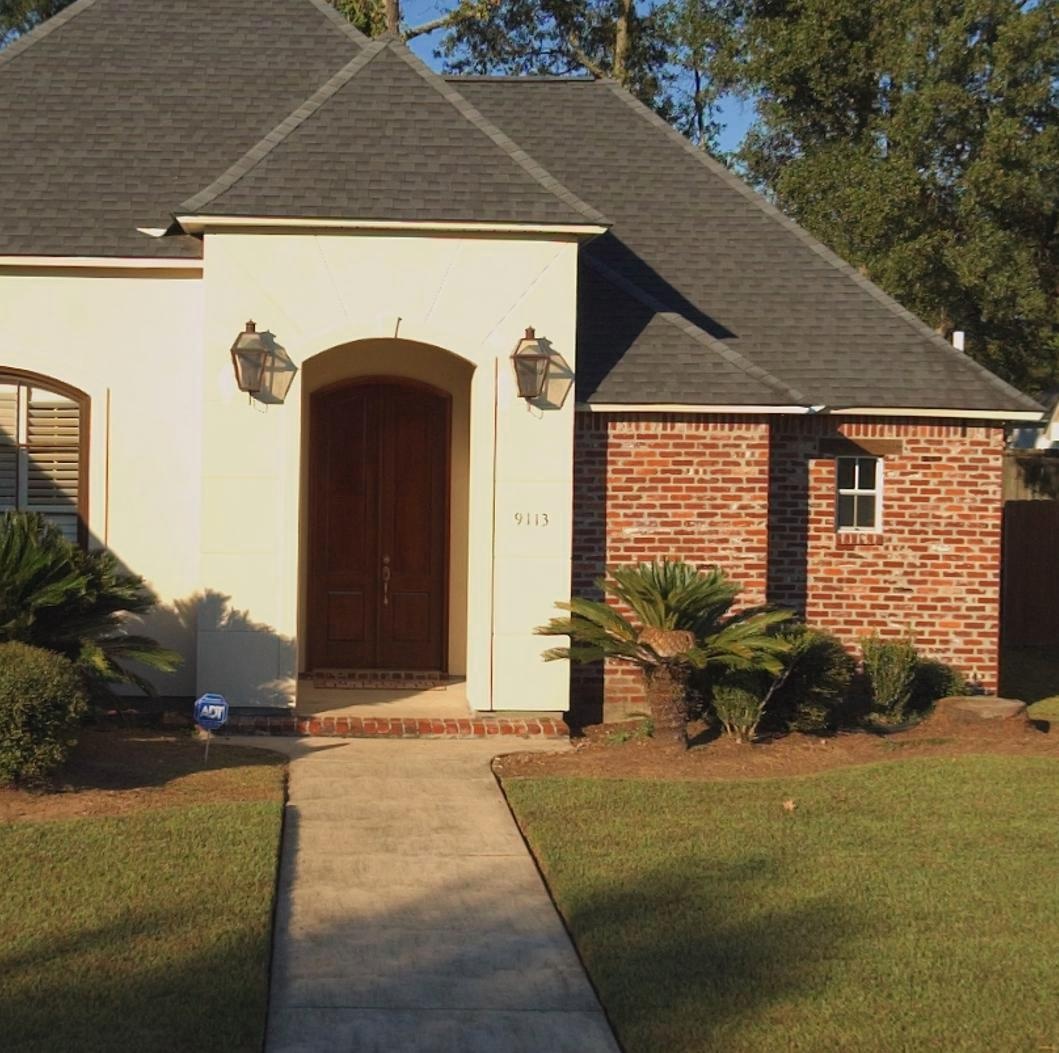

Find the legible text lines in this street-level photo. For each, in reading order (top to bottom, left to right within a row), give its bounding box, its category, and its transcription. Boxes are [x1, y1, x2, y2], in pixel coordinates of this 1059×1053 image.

[513, 511, 550, 527] StreetNumber: 9113
[198, 704, 225, 720] None: ADT